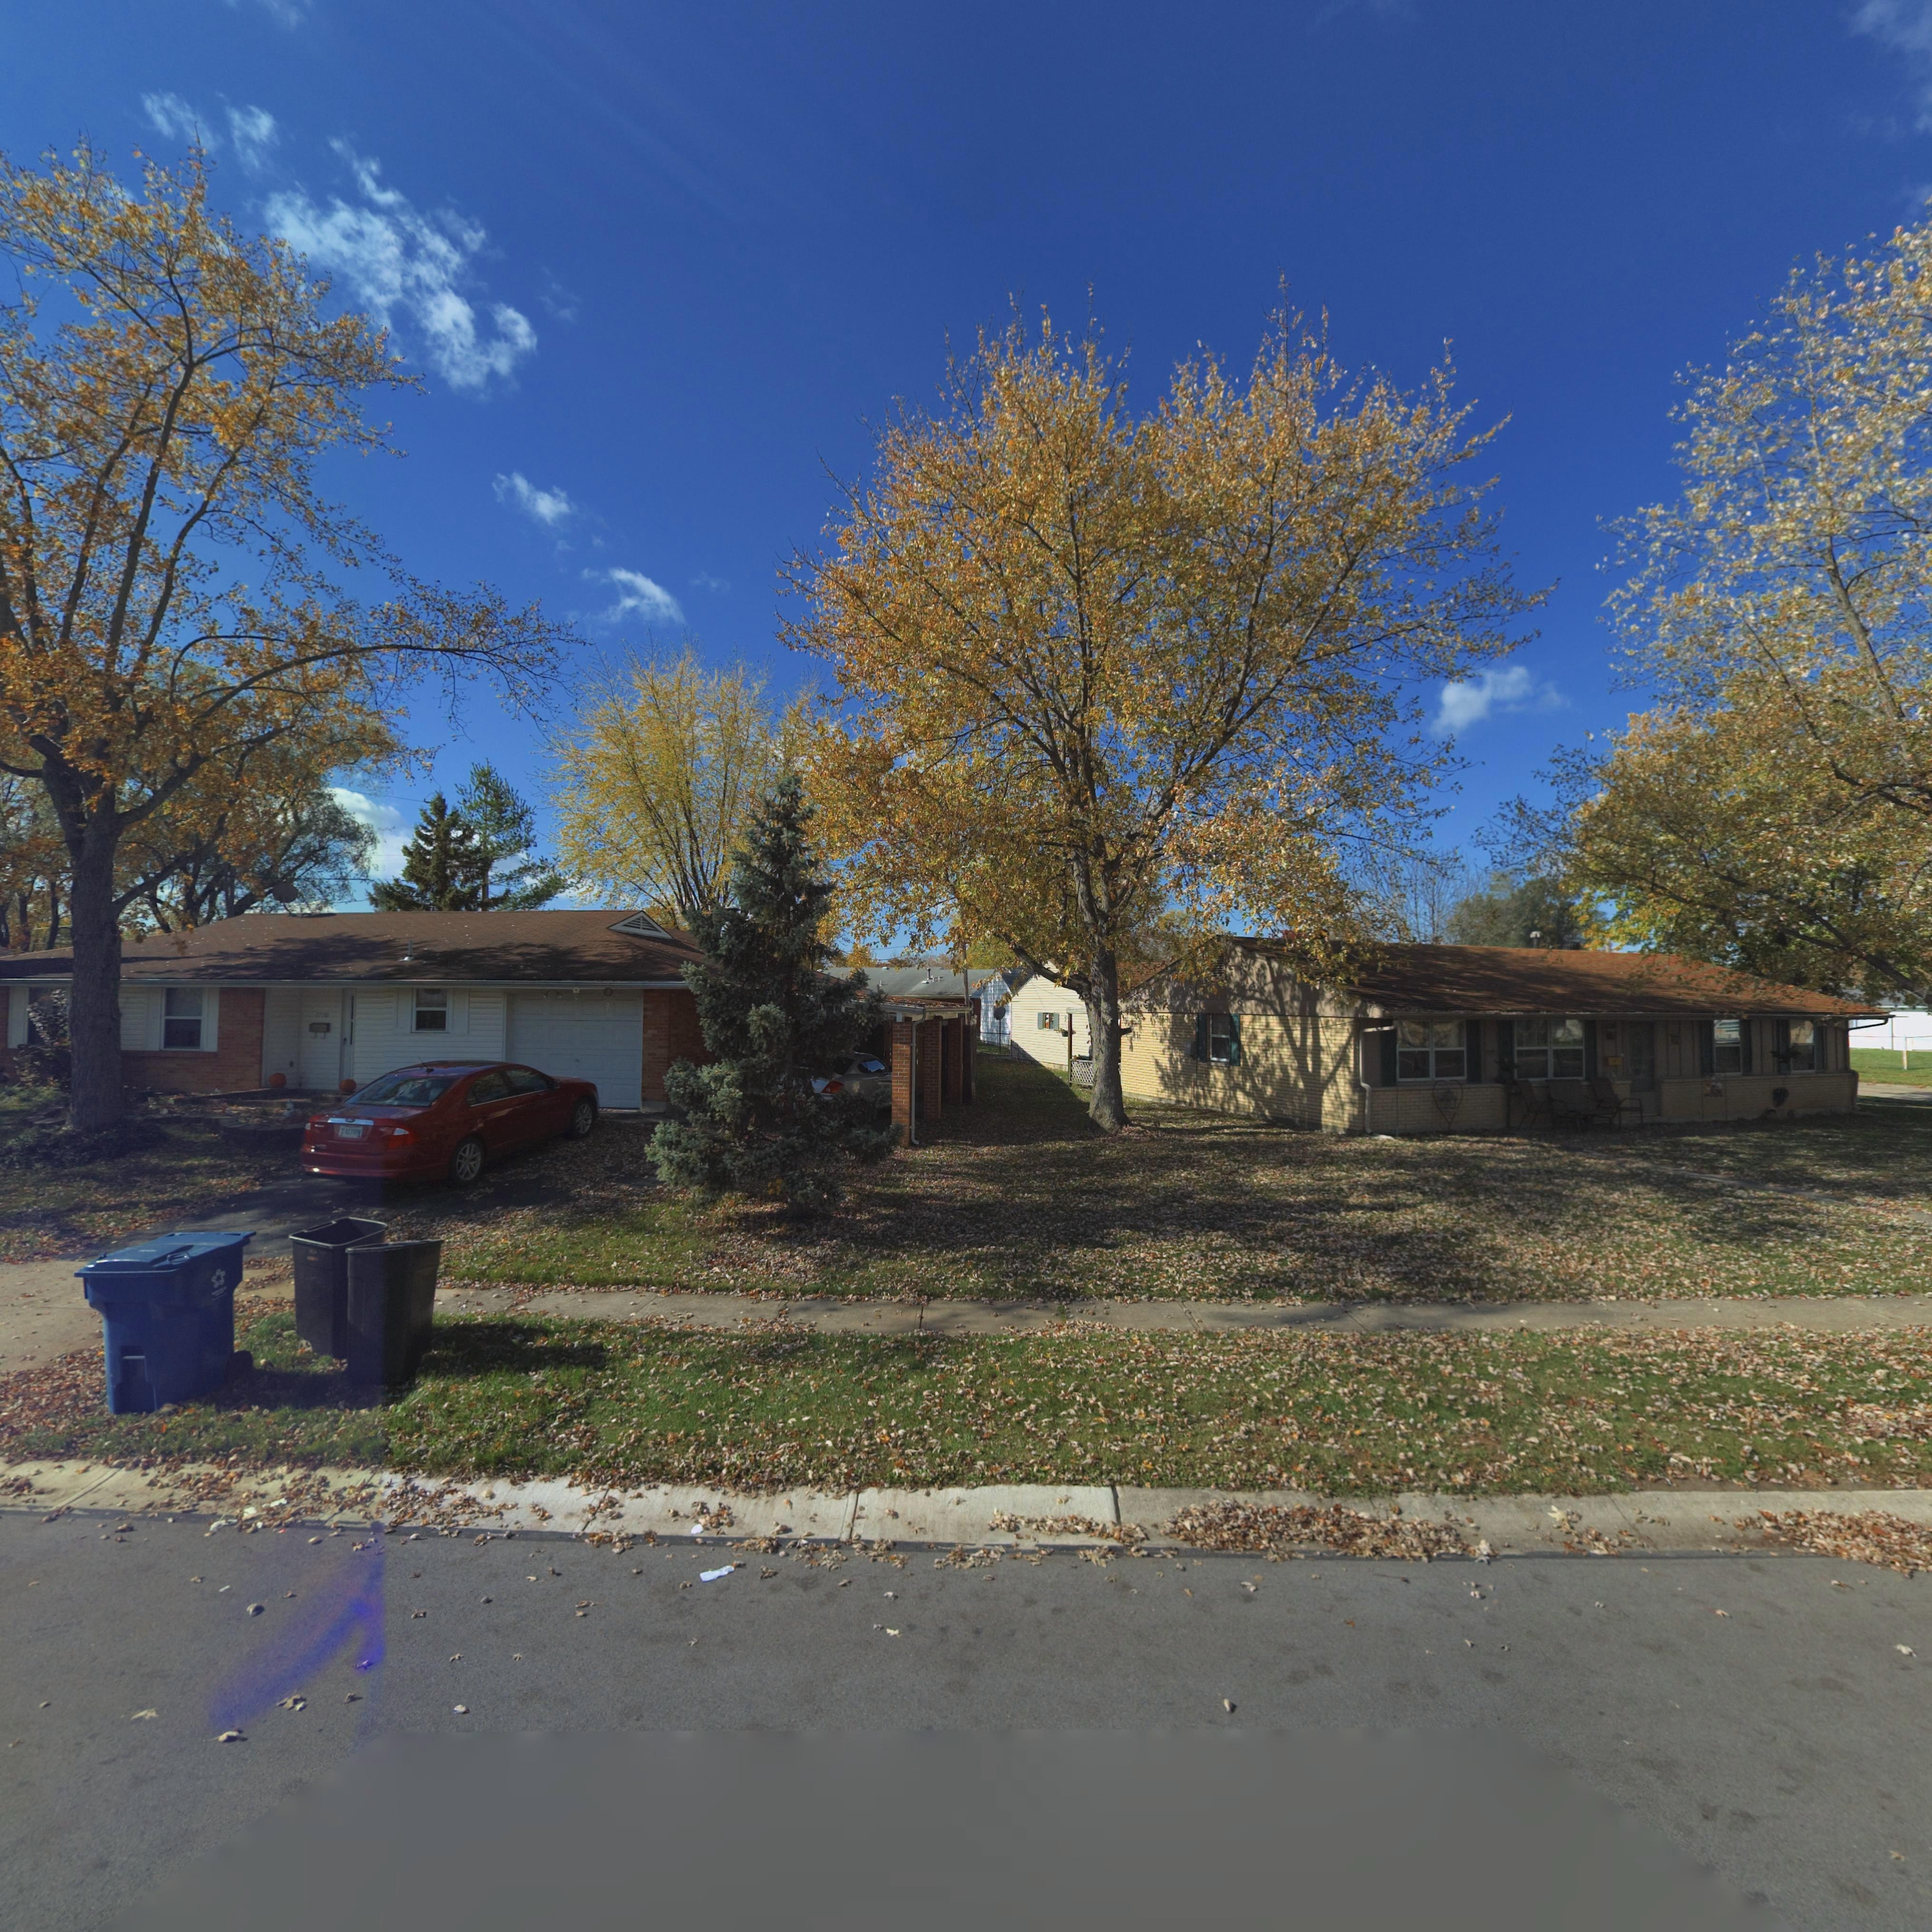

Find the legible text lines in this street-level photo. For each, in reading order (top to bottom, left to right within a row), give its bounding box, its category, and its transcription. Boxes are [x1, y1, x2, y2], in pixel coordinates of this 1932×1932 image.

[312, 1011, 331, 1019] StreetNumber: ***0